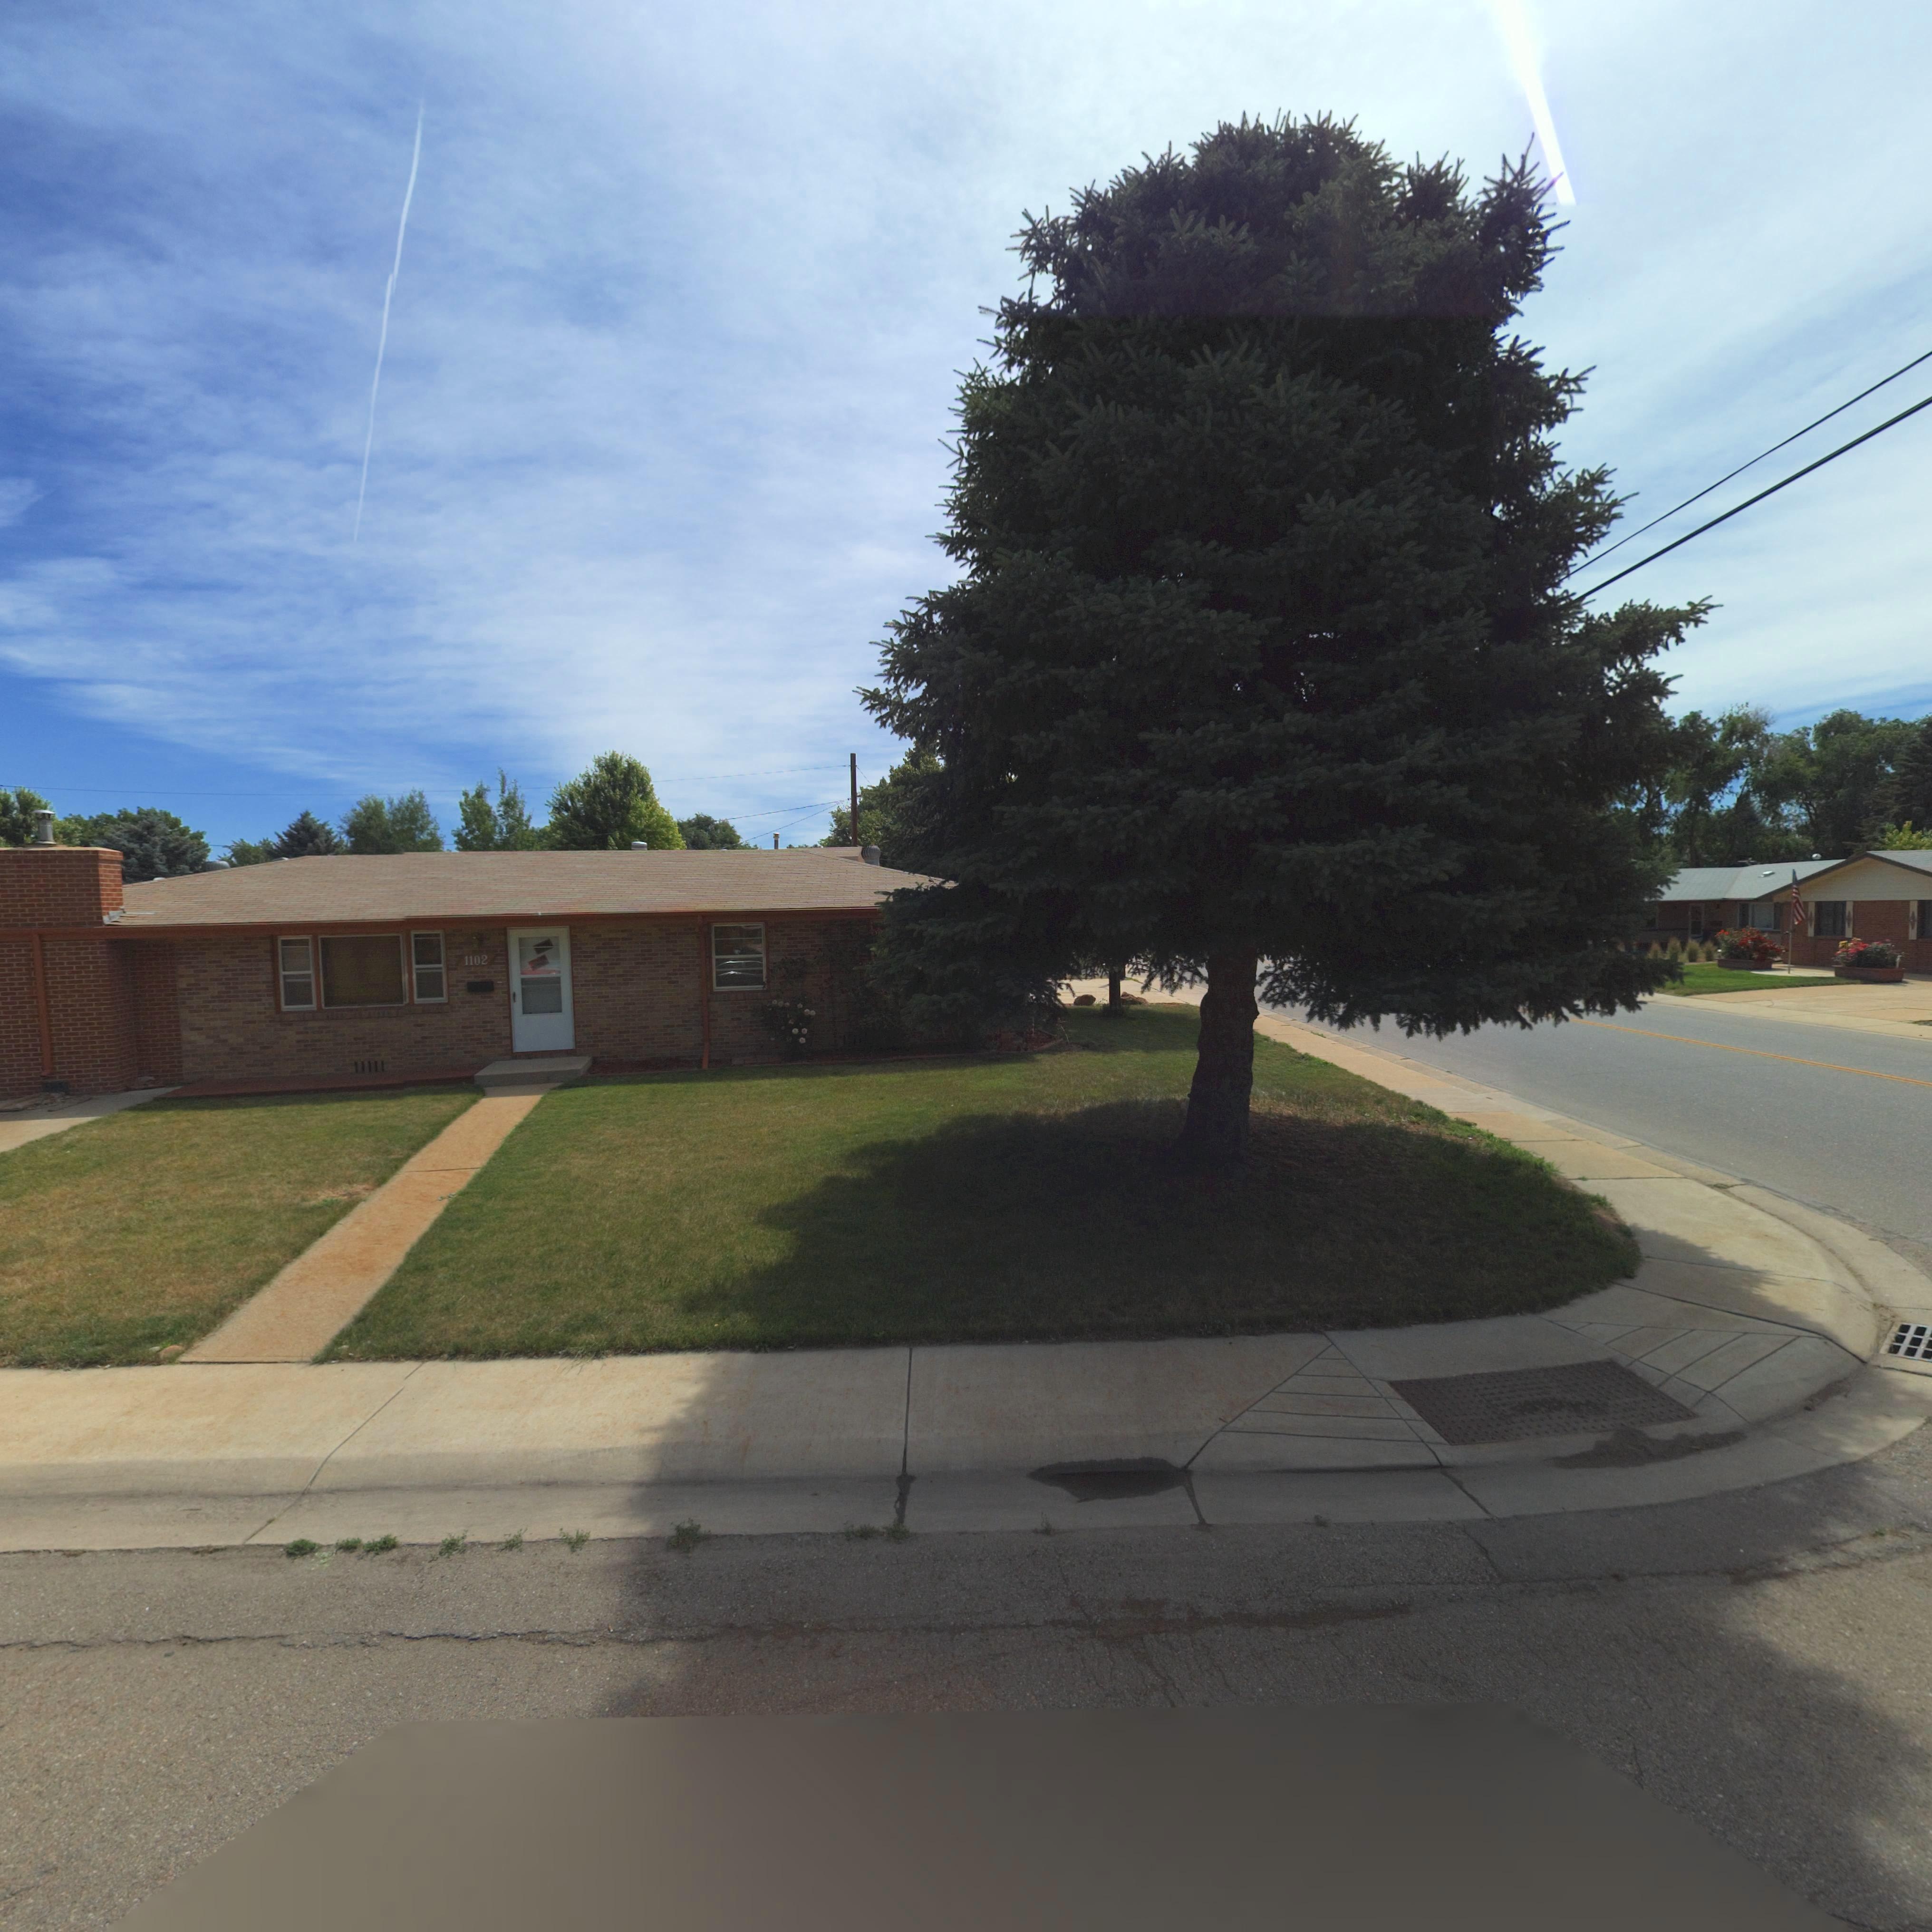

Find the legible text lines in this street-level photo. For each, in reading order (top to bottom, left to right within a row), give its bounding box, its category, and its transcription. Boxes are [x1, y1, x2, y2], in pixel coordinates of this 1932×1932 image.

[465, 954, 489, 966] StreetNumber: 1102